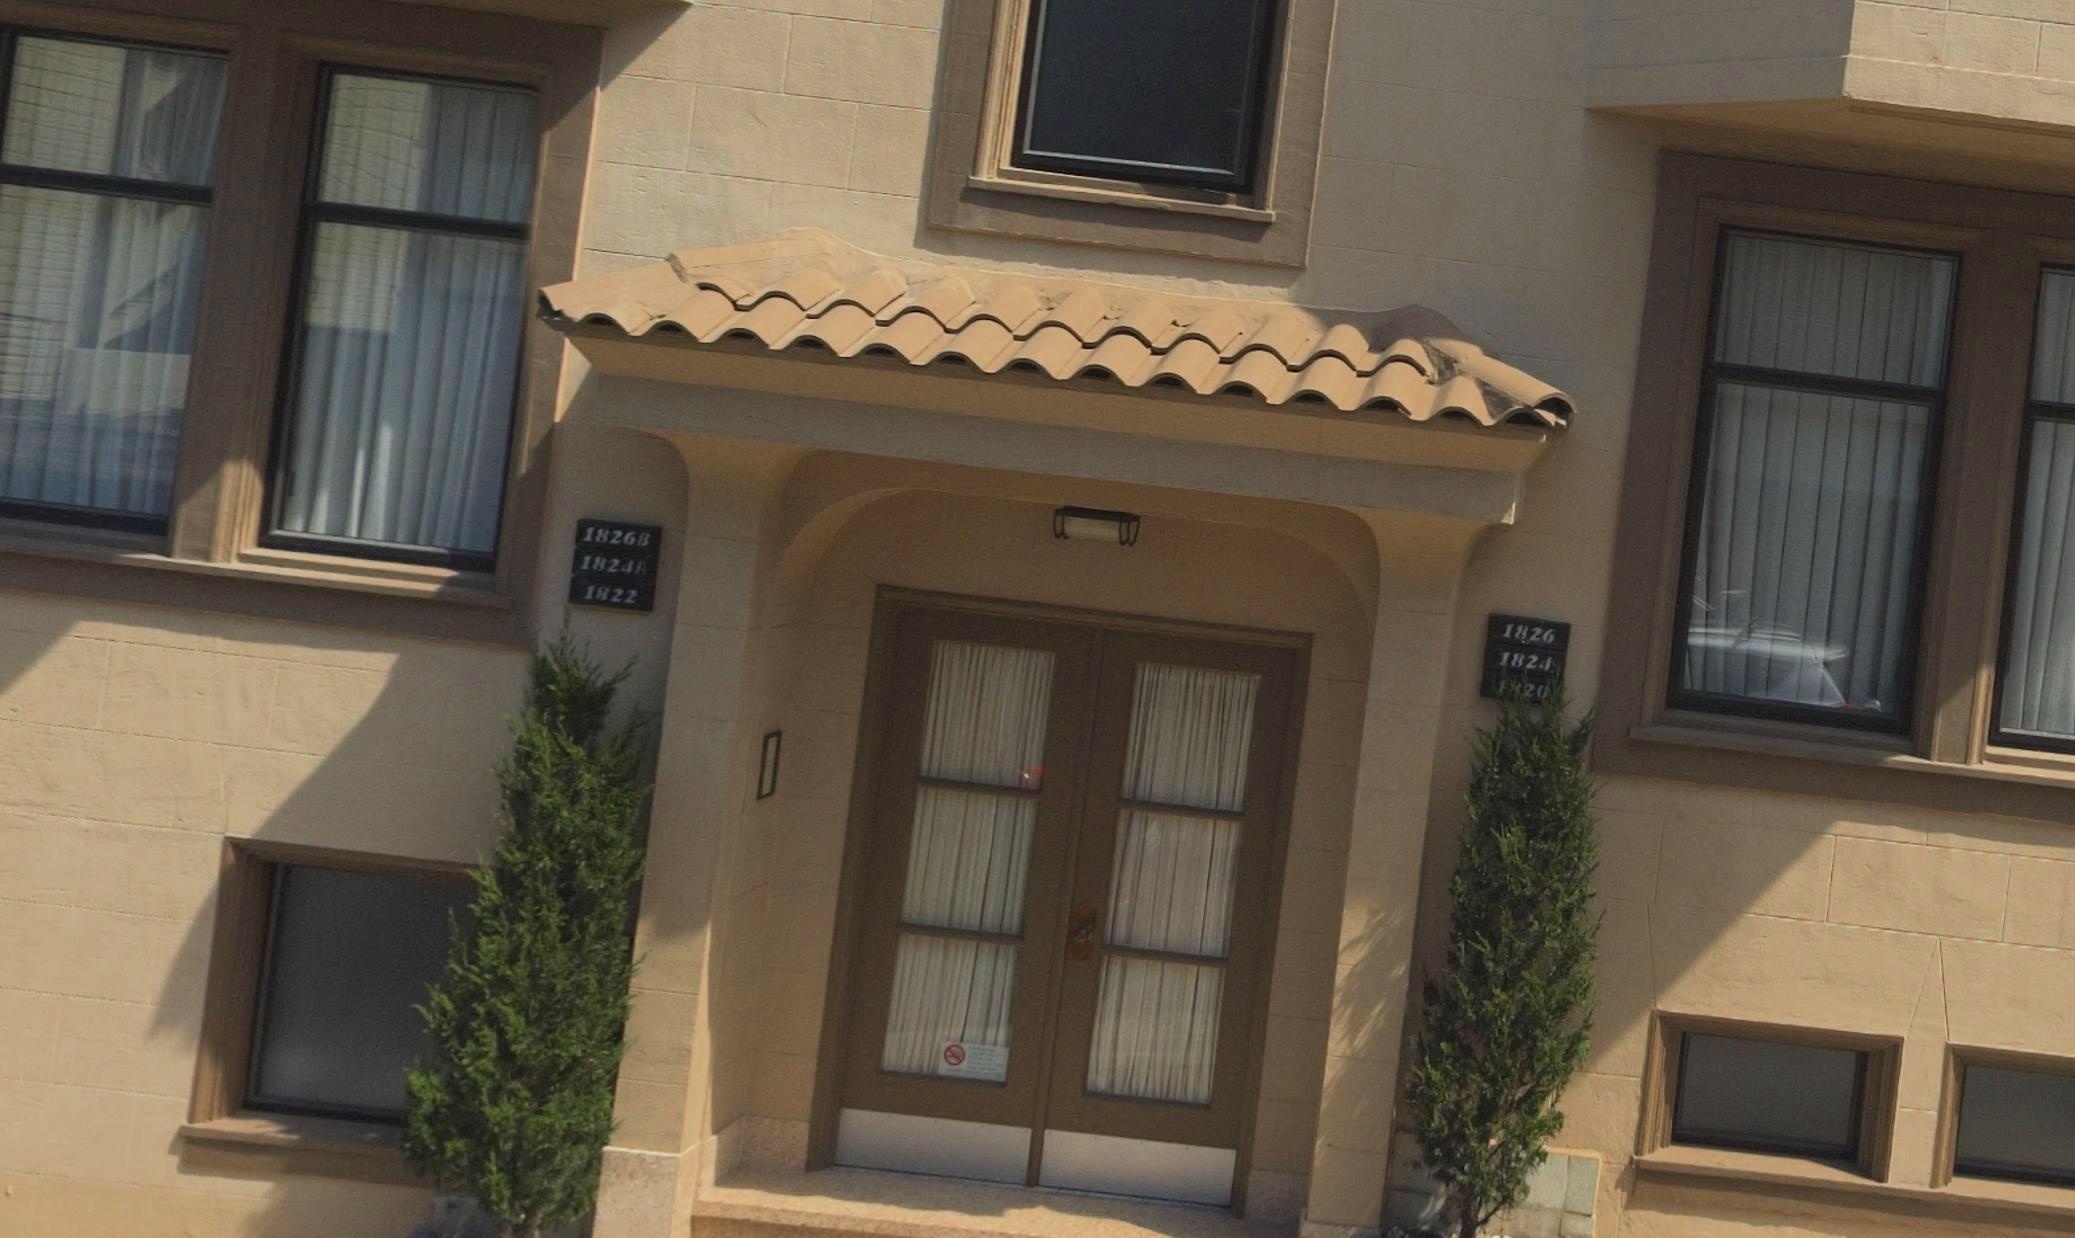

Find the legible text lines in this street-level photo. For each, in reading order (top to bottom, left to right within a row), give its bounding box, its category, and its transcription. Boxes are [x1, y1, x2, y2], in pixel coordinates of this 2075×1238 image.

[582, 523, 654, 549] StreetNumber: 1826B
[578, 550, 648, 579] StreetNumber: 1824A
[582, 584, 641, 604] StreetNumber: 1822
[1502, 622, 1558, 646] StreetNumber: 1826
[1499, 650, 1556, 672] StreetNumber: 1824
[1496, 678, 1553, 700] StreetNumber: 1820